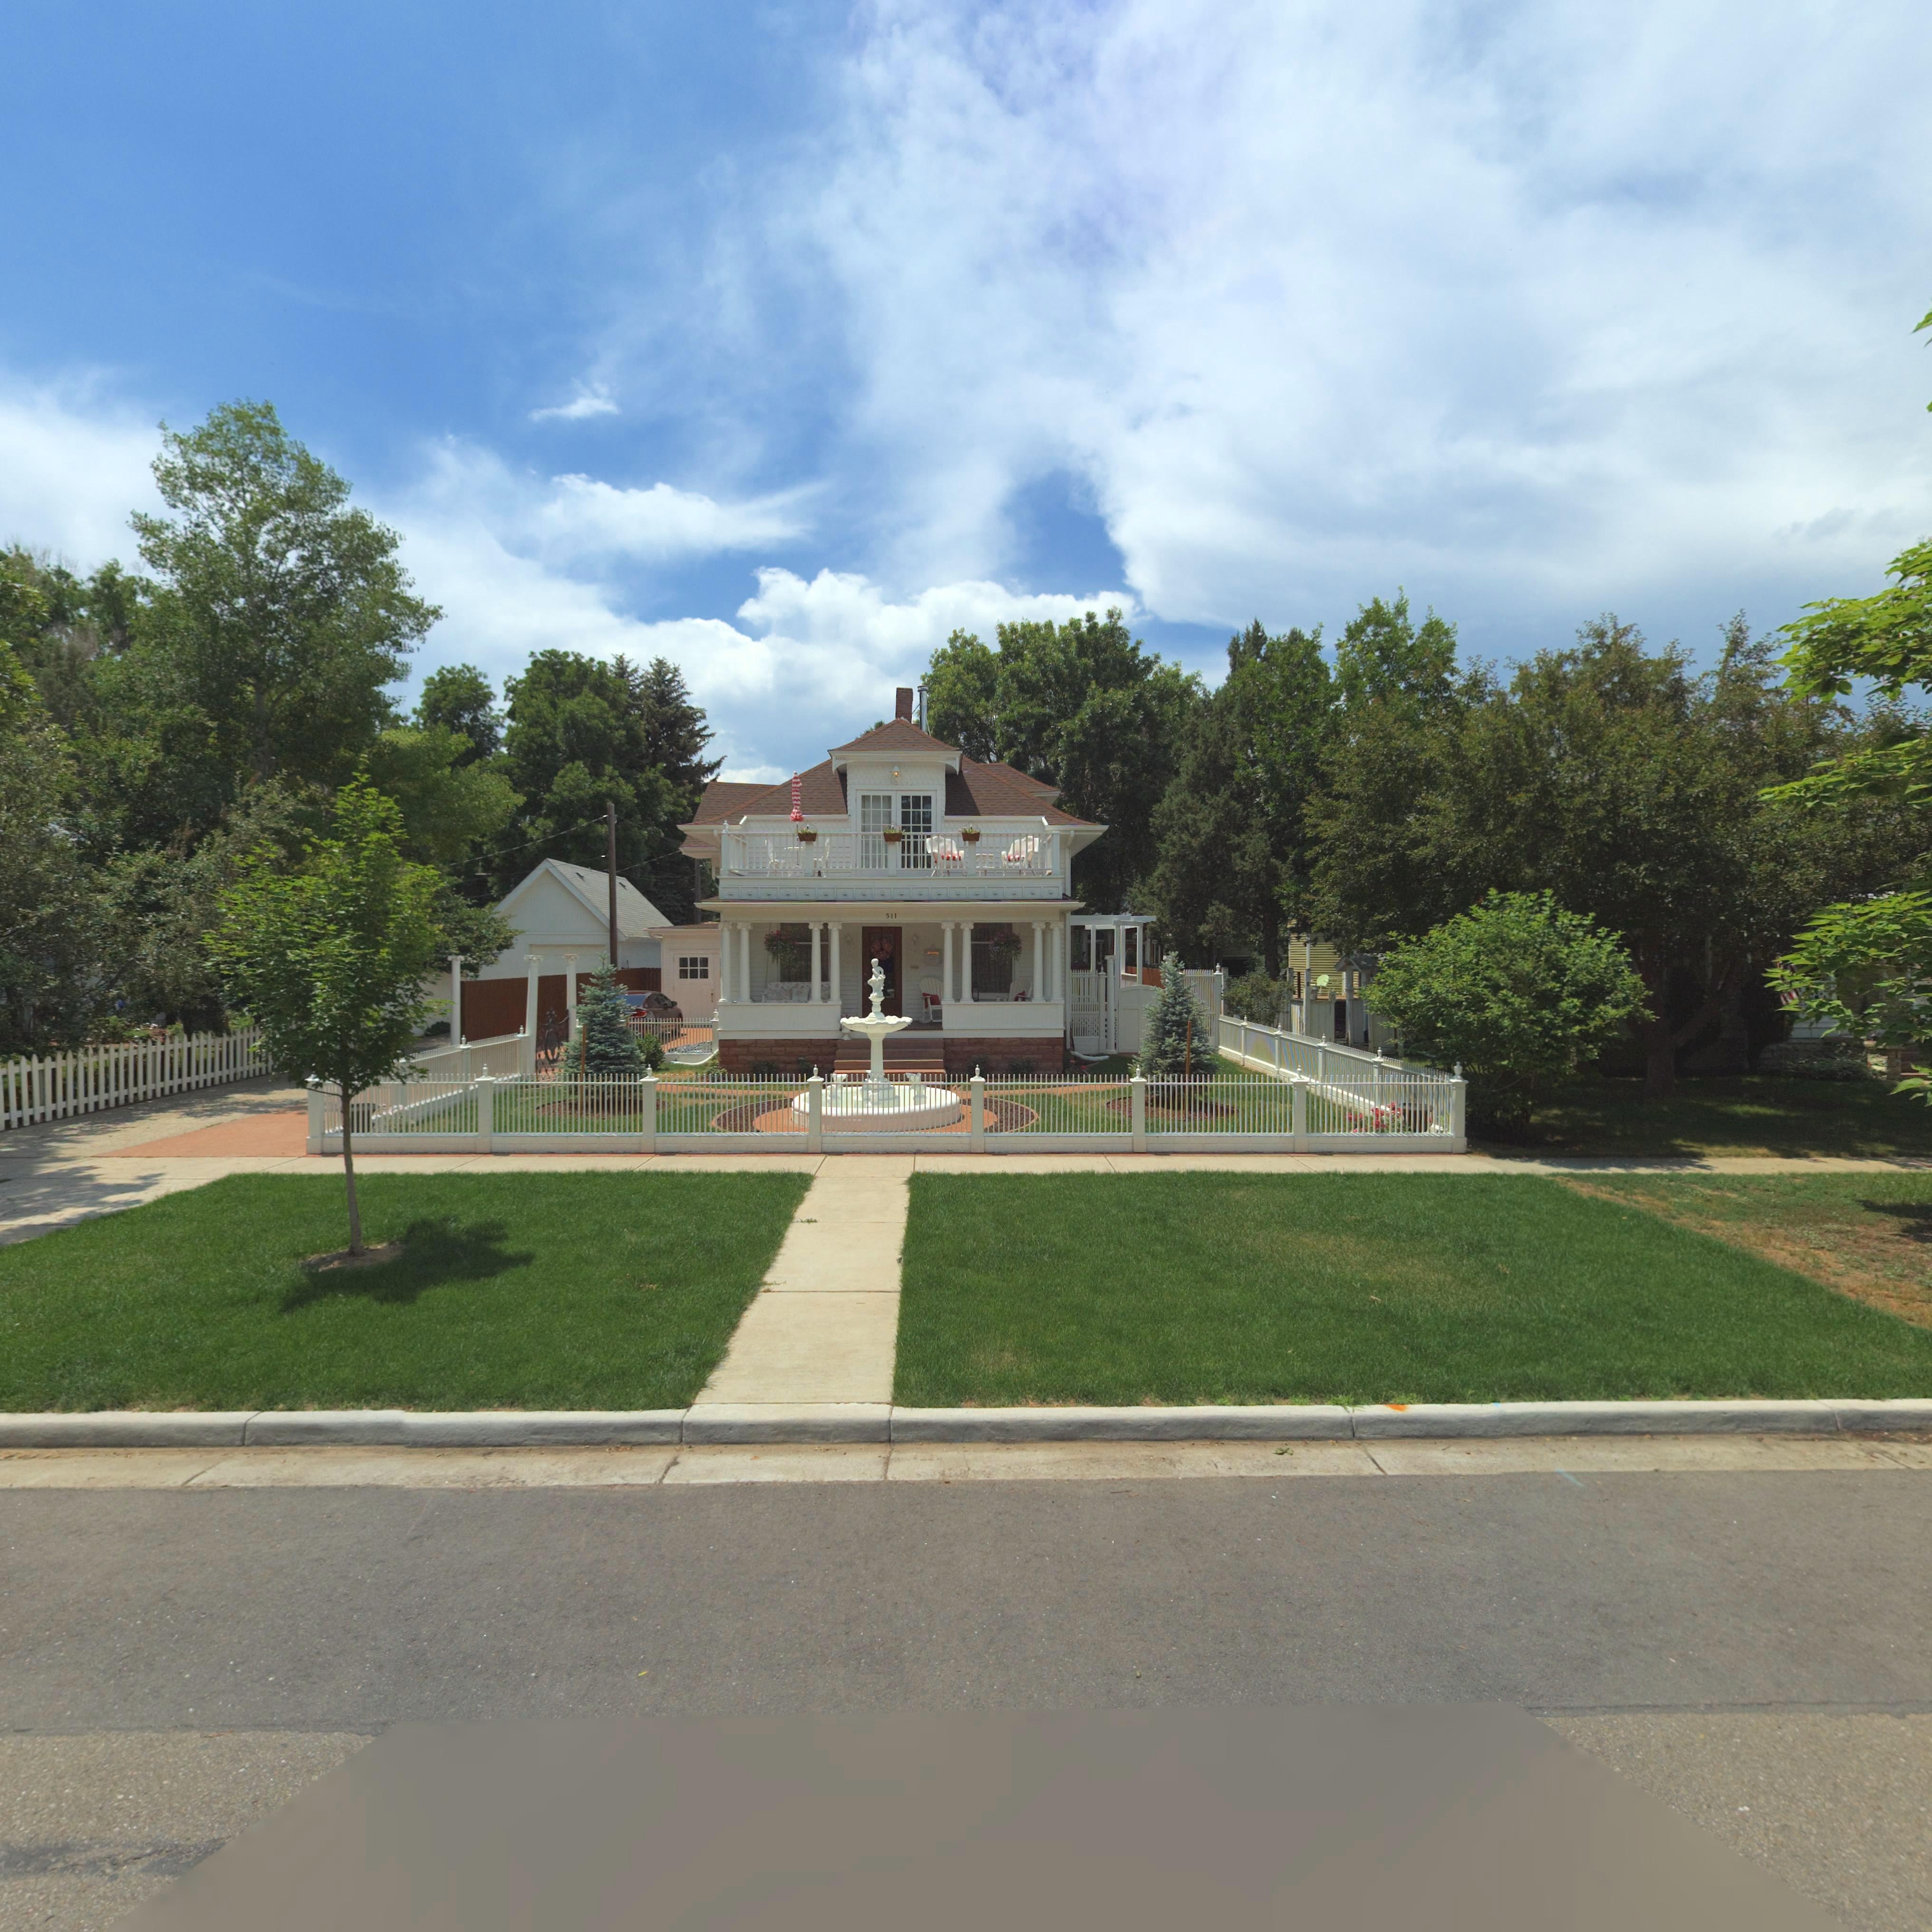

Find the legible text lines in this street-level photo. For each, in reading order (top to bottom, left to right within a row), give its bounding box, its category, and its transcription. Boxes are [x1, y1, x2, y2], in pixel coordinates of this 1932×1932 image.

[886, 913, 897, 918] StreetNumber: 511